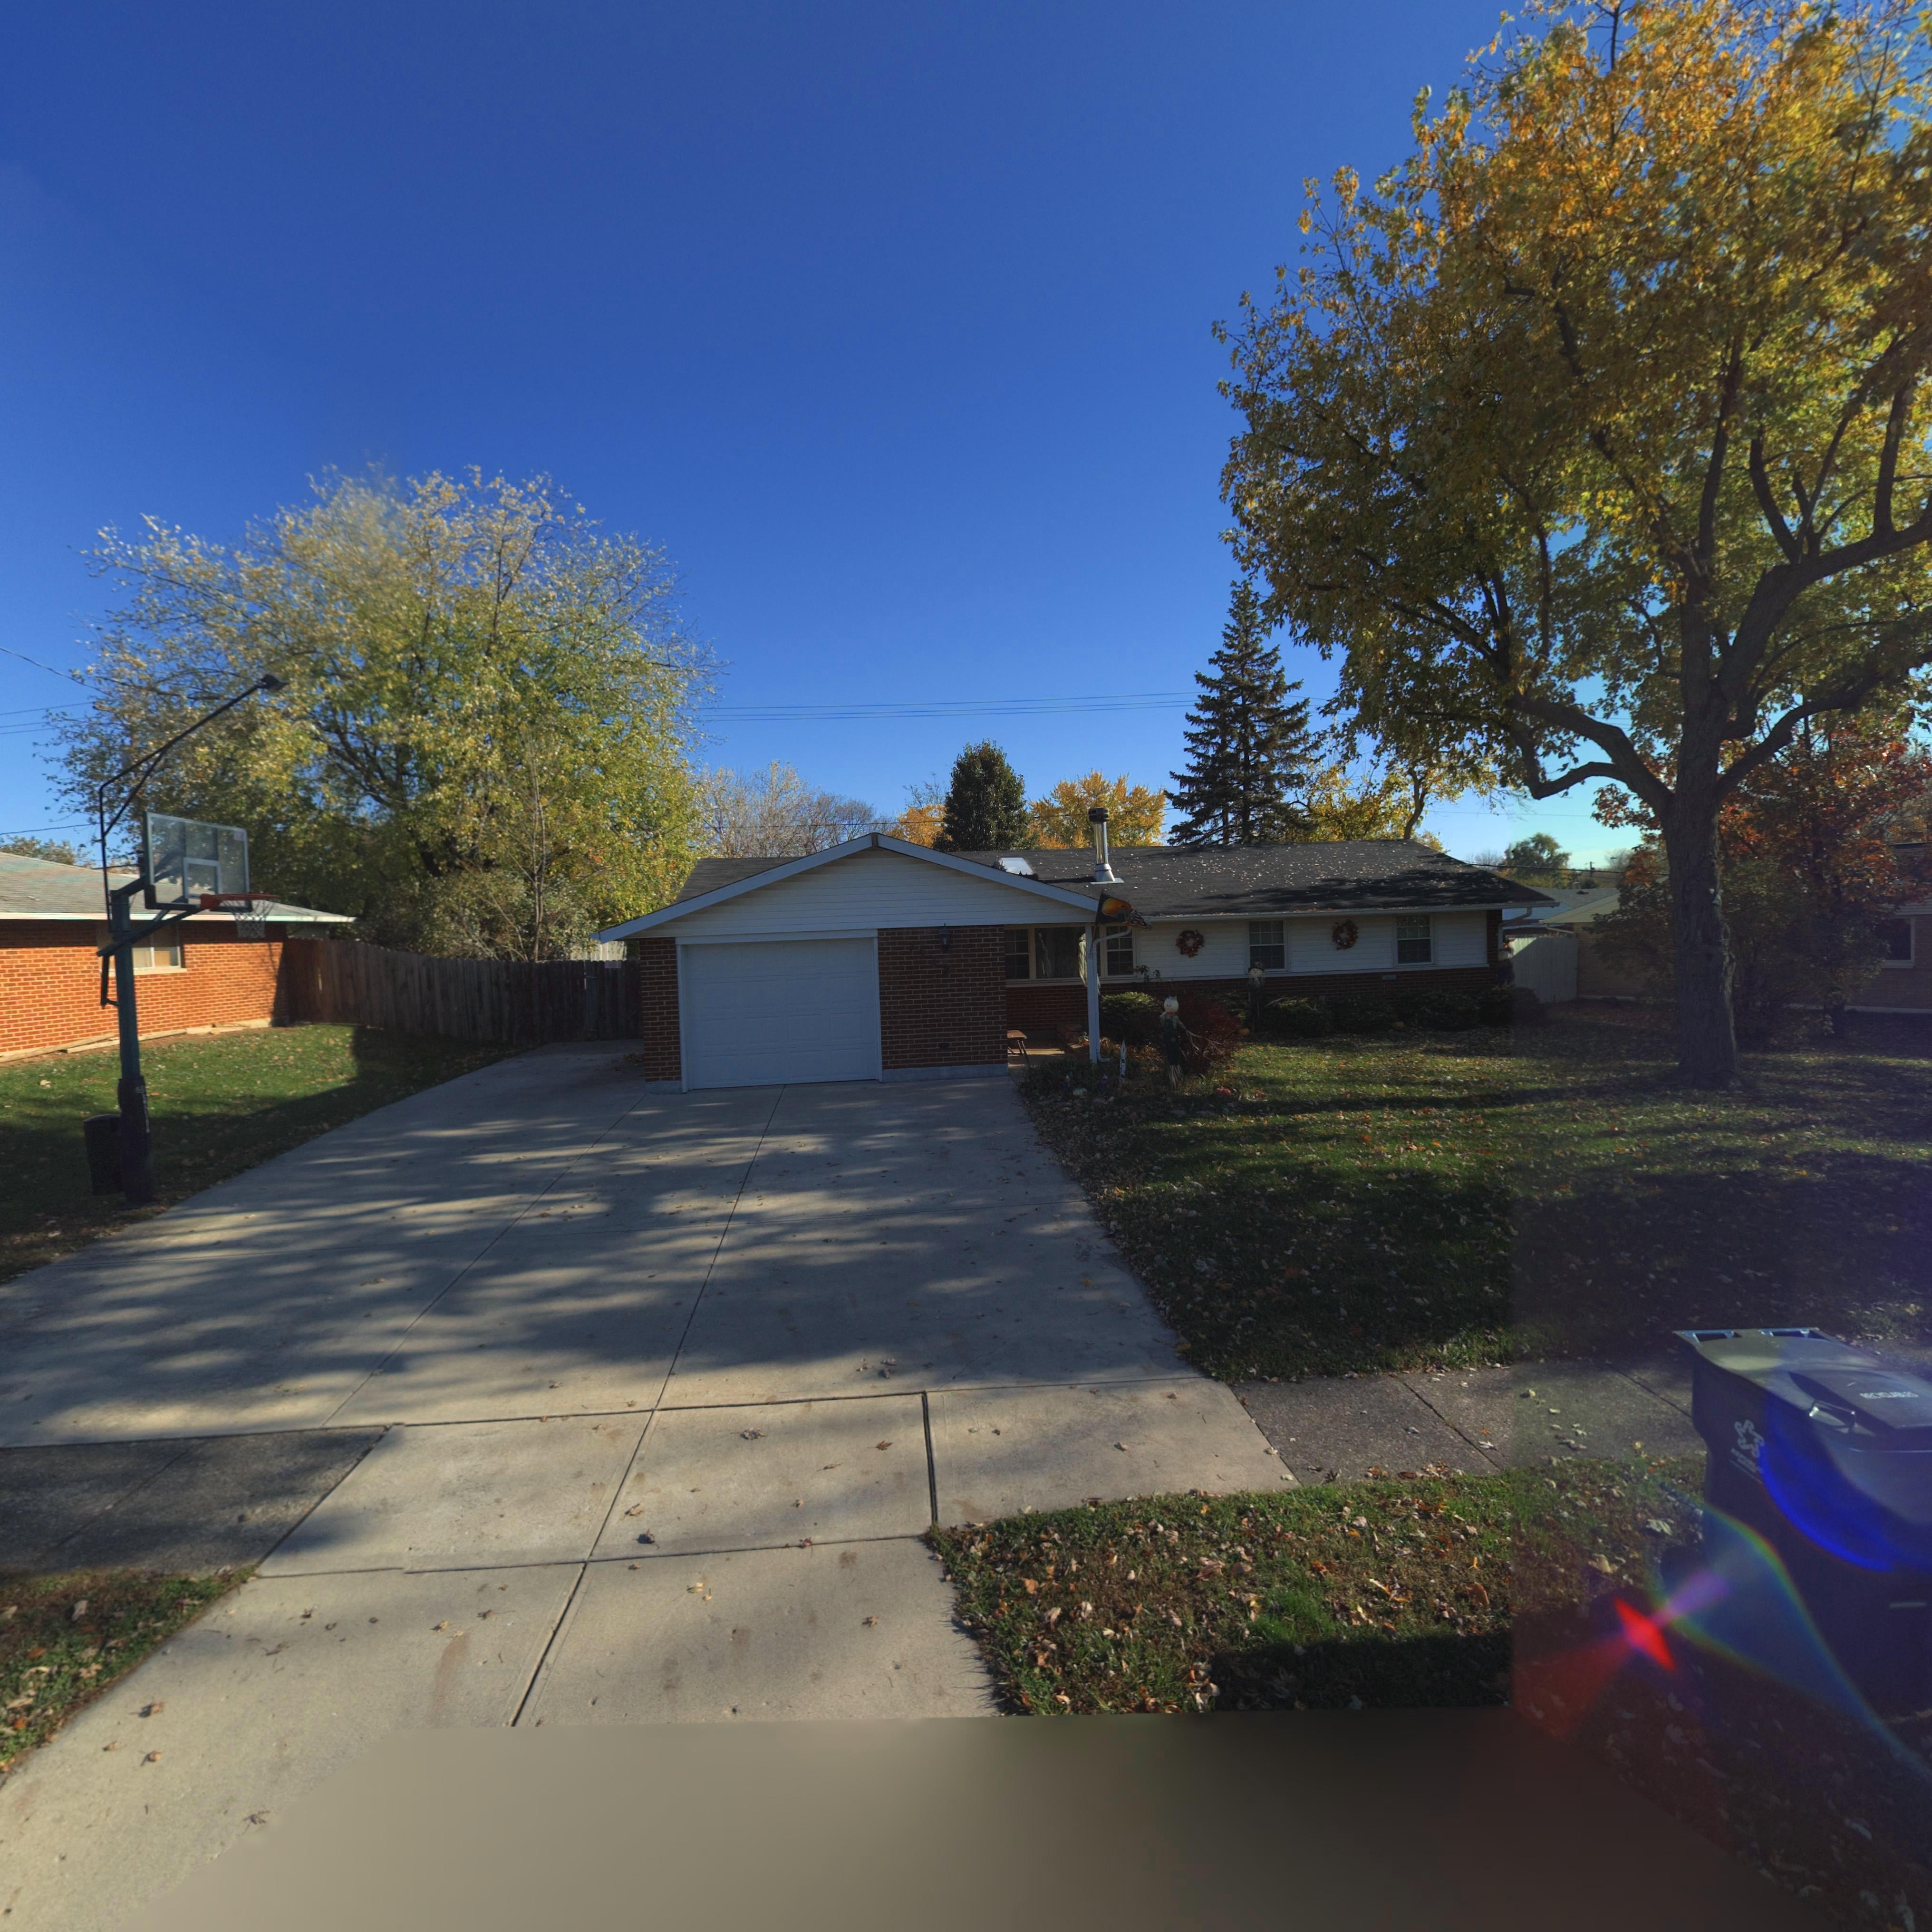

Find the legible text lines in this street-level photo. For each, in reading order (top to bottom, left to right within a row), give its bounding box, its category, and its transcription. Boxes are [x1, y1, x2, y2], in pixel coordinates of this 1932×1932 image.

[906, 942, 952, 977] StreetNumber: 75*2